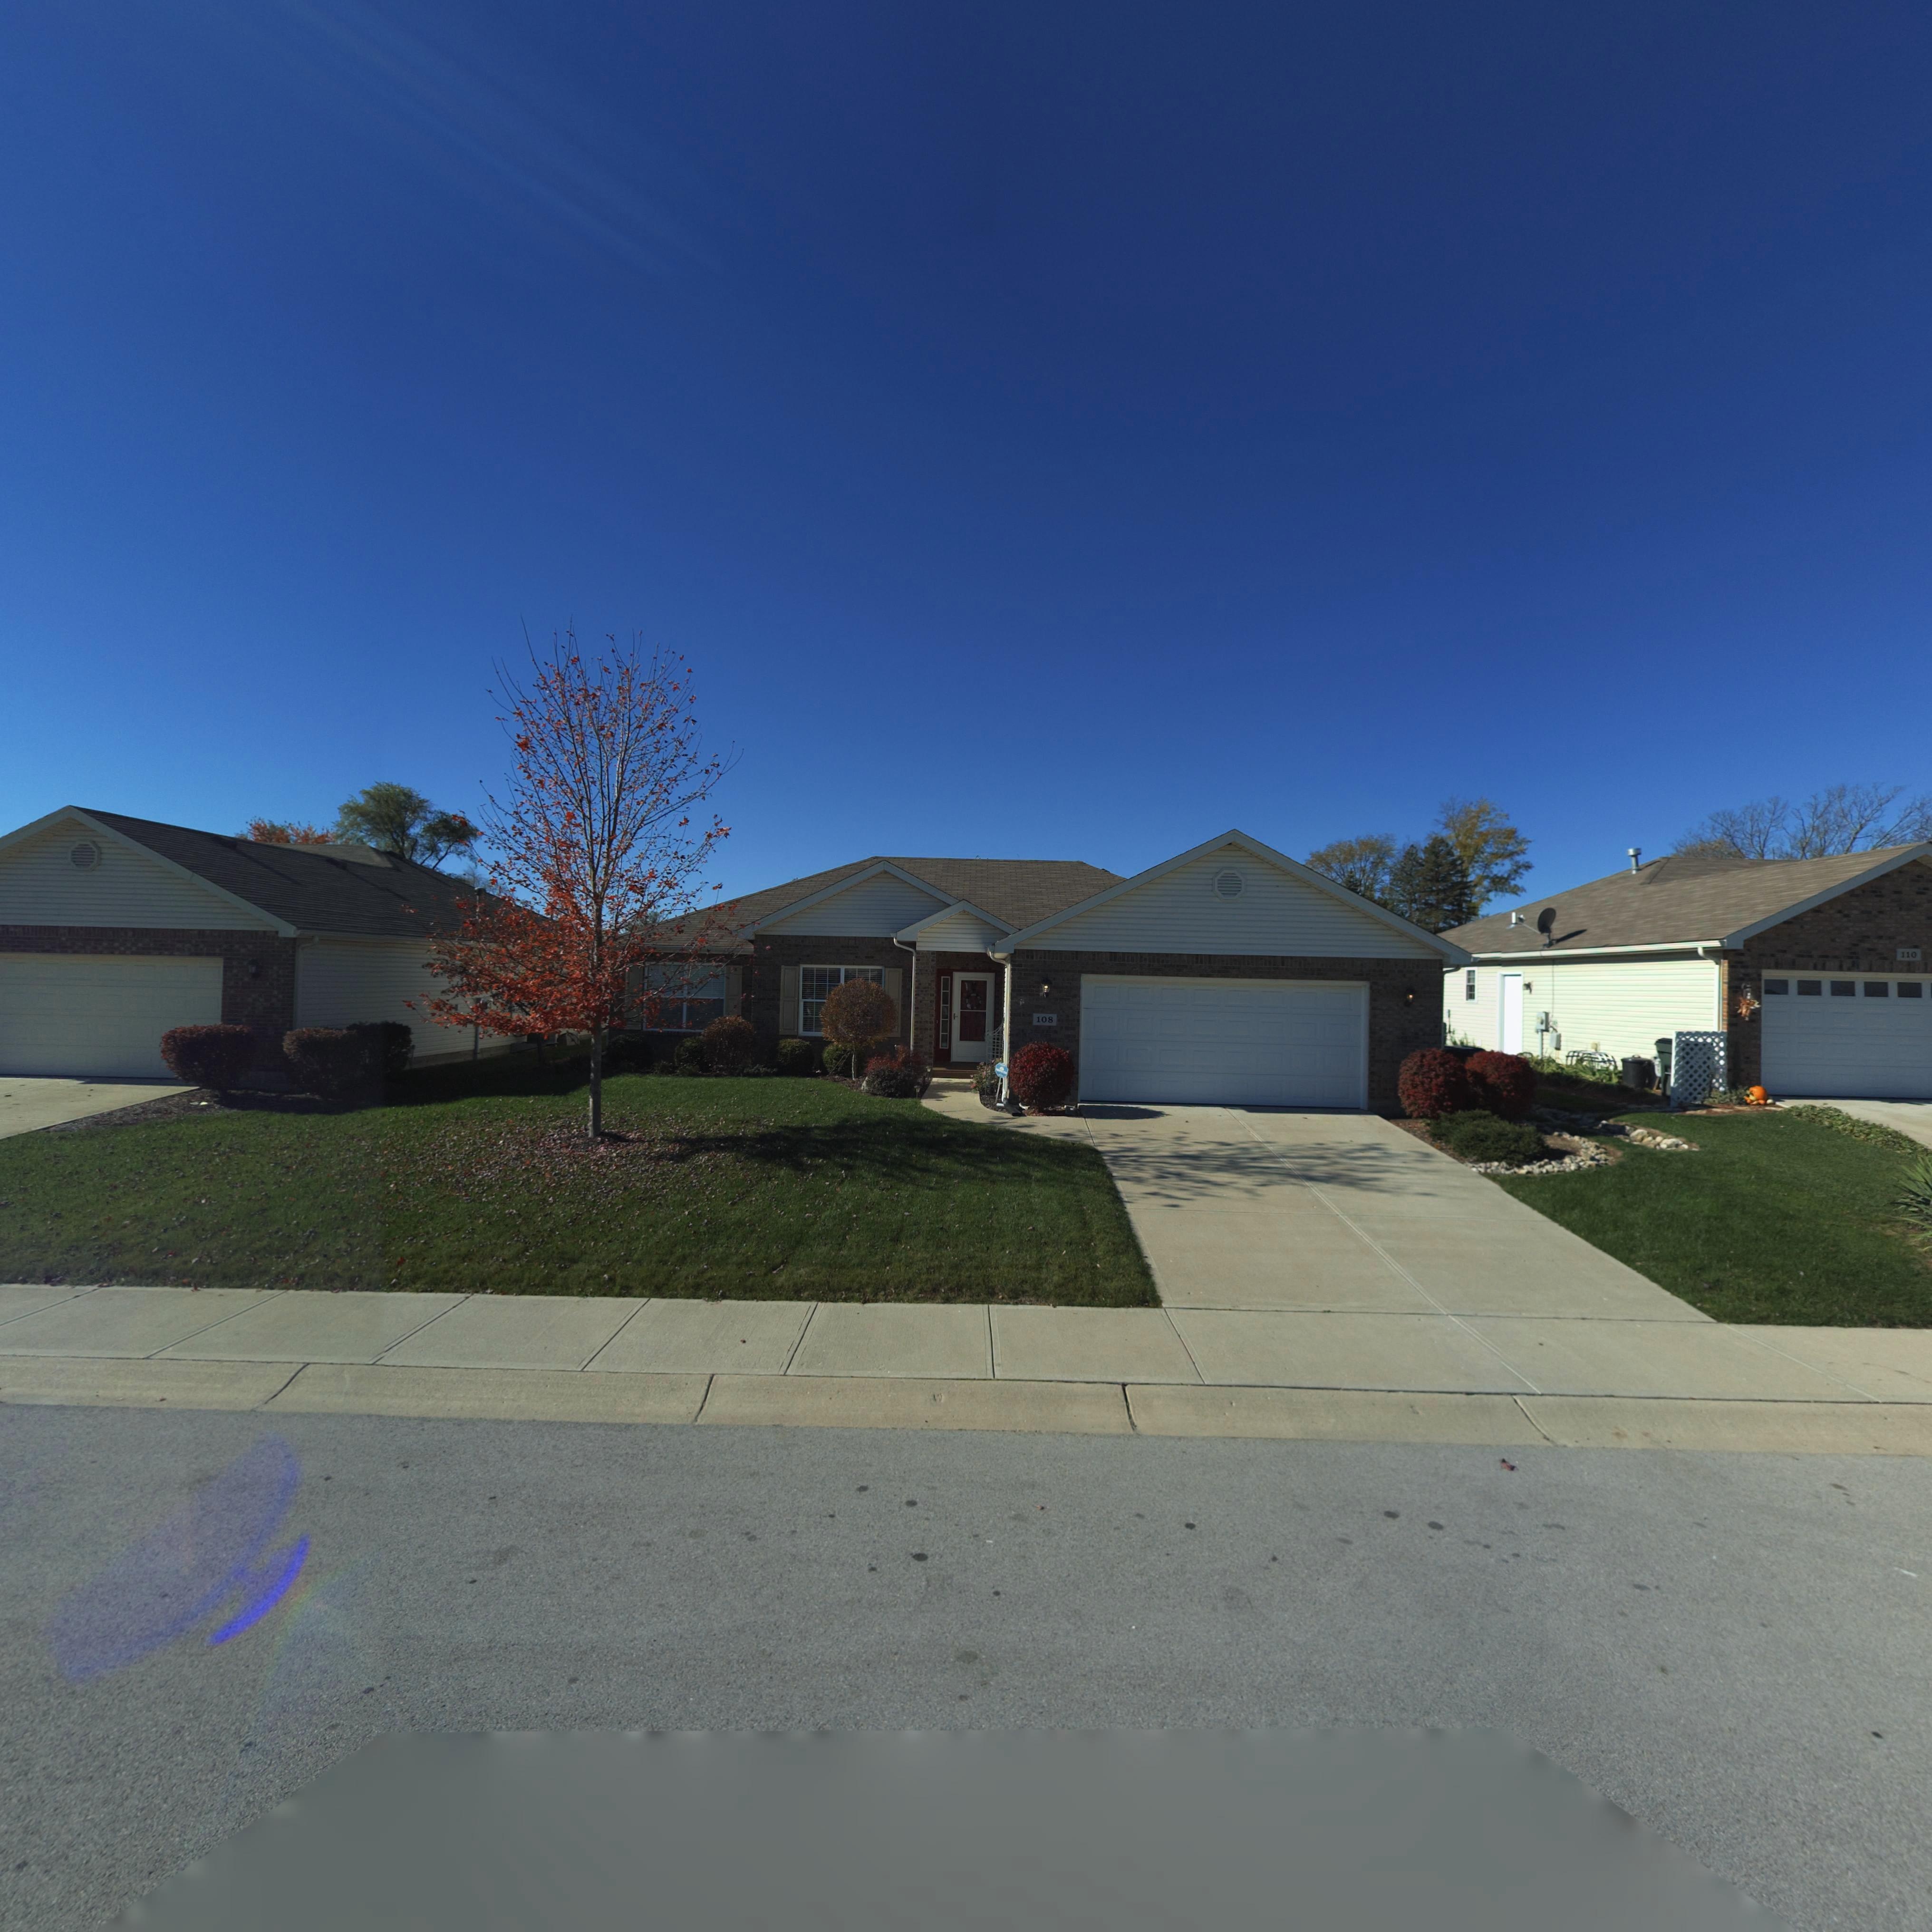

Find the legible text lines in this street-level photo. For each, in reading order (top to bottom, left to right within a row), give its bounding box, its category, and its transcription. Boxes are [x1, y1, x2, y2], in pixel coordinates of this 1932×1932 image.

[1901, 950, 1918, 959] StreetNumber: 110
[1035, 1015, 1054, 1024] StreetNumber: 108